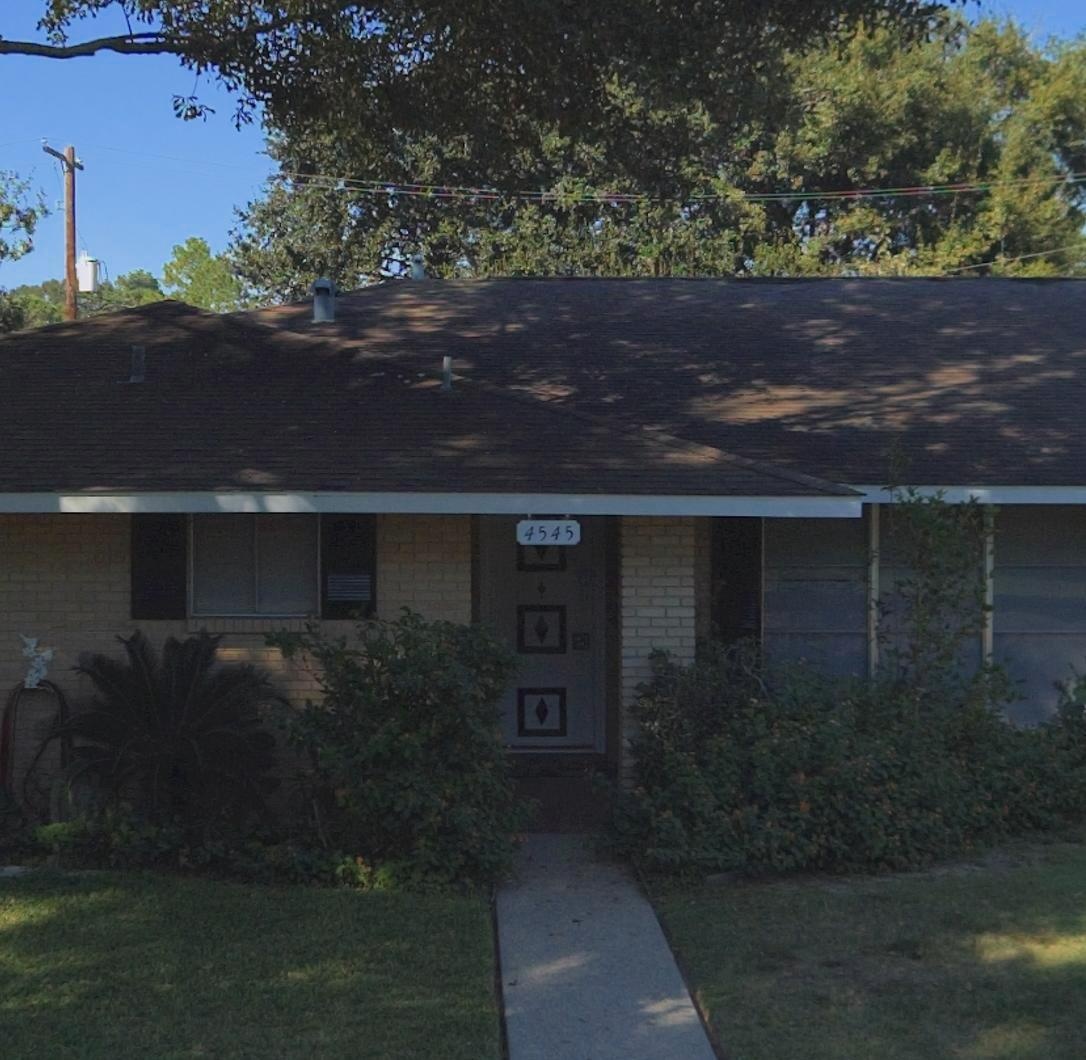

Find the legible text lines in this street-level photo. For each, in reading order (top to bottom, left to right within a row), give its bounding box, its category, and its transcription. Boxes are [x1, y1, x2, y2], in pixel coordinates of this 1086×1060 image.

[523, 524, 574, 543] StreetNumber: 4545